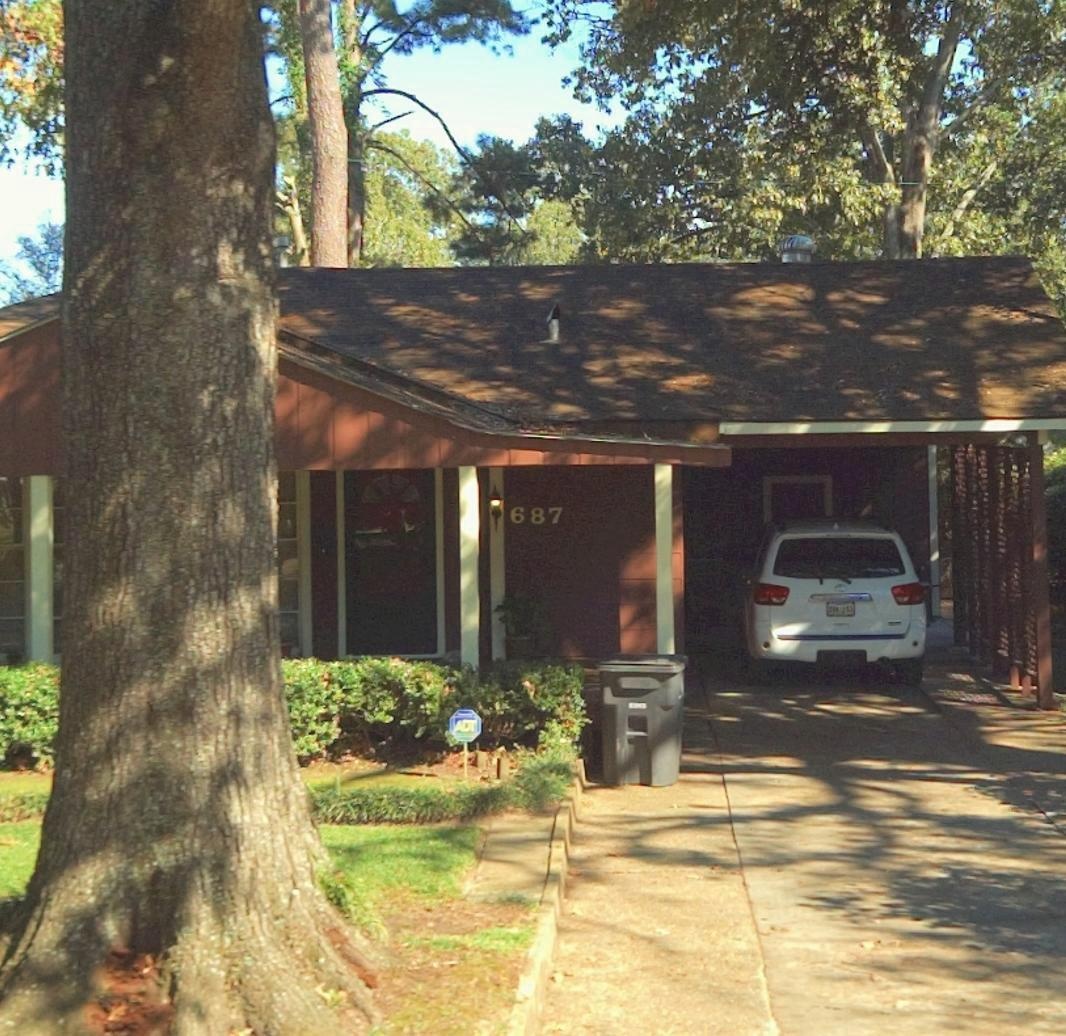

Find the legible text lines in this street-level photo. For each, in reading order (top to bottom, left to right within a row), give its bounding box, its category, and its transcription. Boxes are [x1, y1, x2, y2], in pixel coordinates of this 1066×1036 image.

[509, 505, 564, 525] StreetNumber: 687
[452, 718, 477, 734] None: ADT